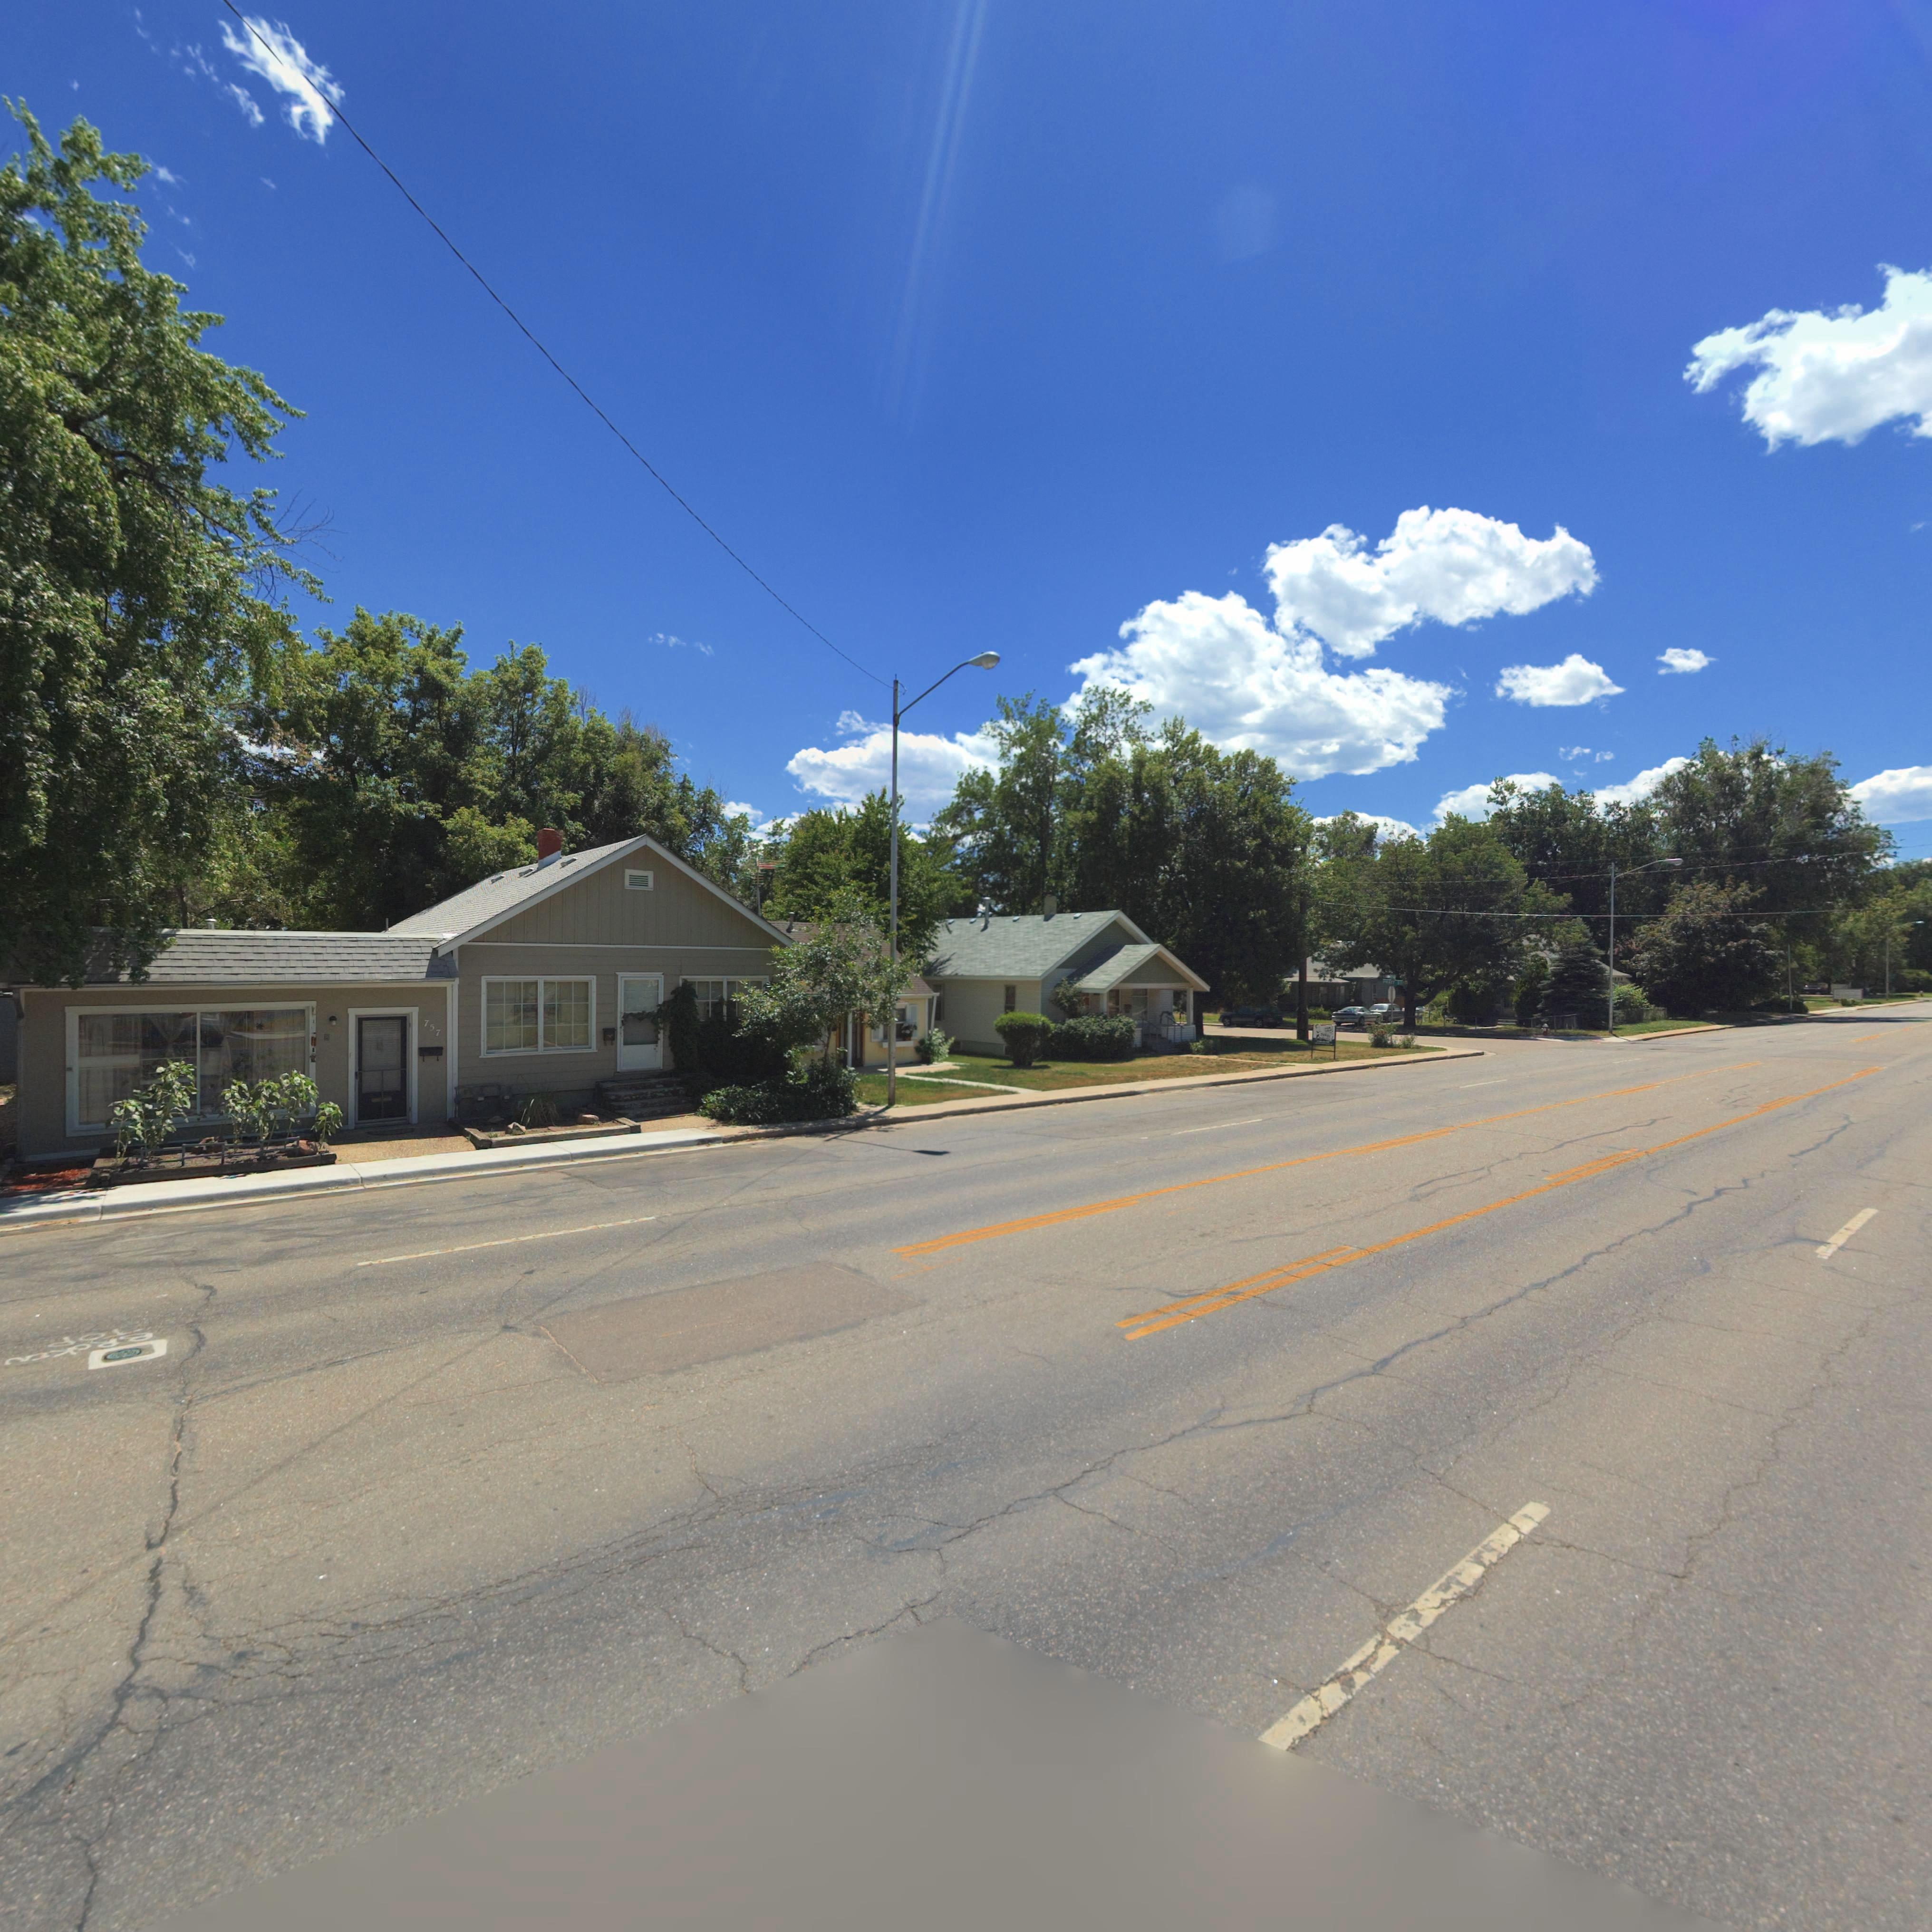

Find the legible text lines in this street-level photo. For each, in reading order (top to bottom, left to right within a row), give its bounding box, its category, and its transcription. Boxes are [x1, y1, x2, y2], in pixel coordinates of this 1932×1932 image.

[1382, 979, 1402, 985] StreetName: PRATT ST
[1190, 1000, 1192, 1010] StreetNumber: 76*
[424, 1019, 441, 1036] StreetNumber: 757